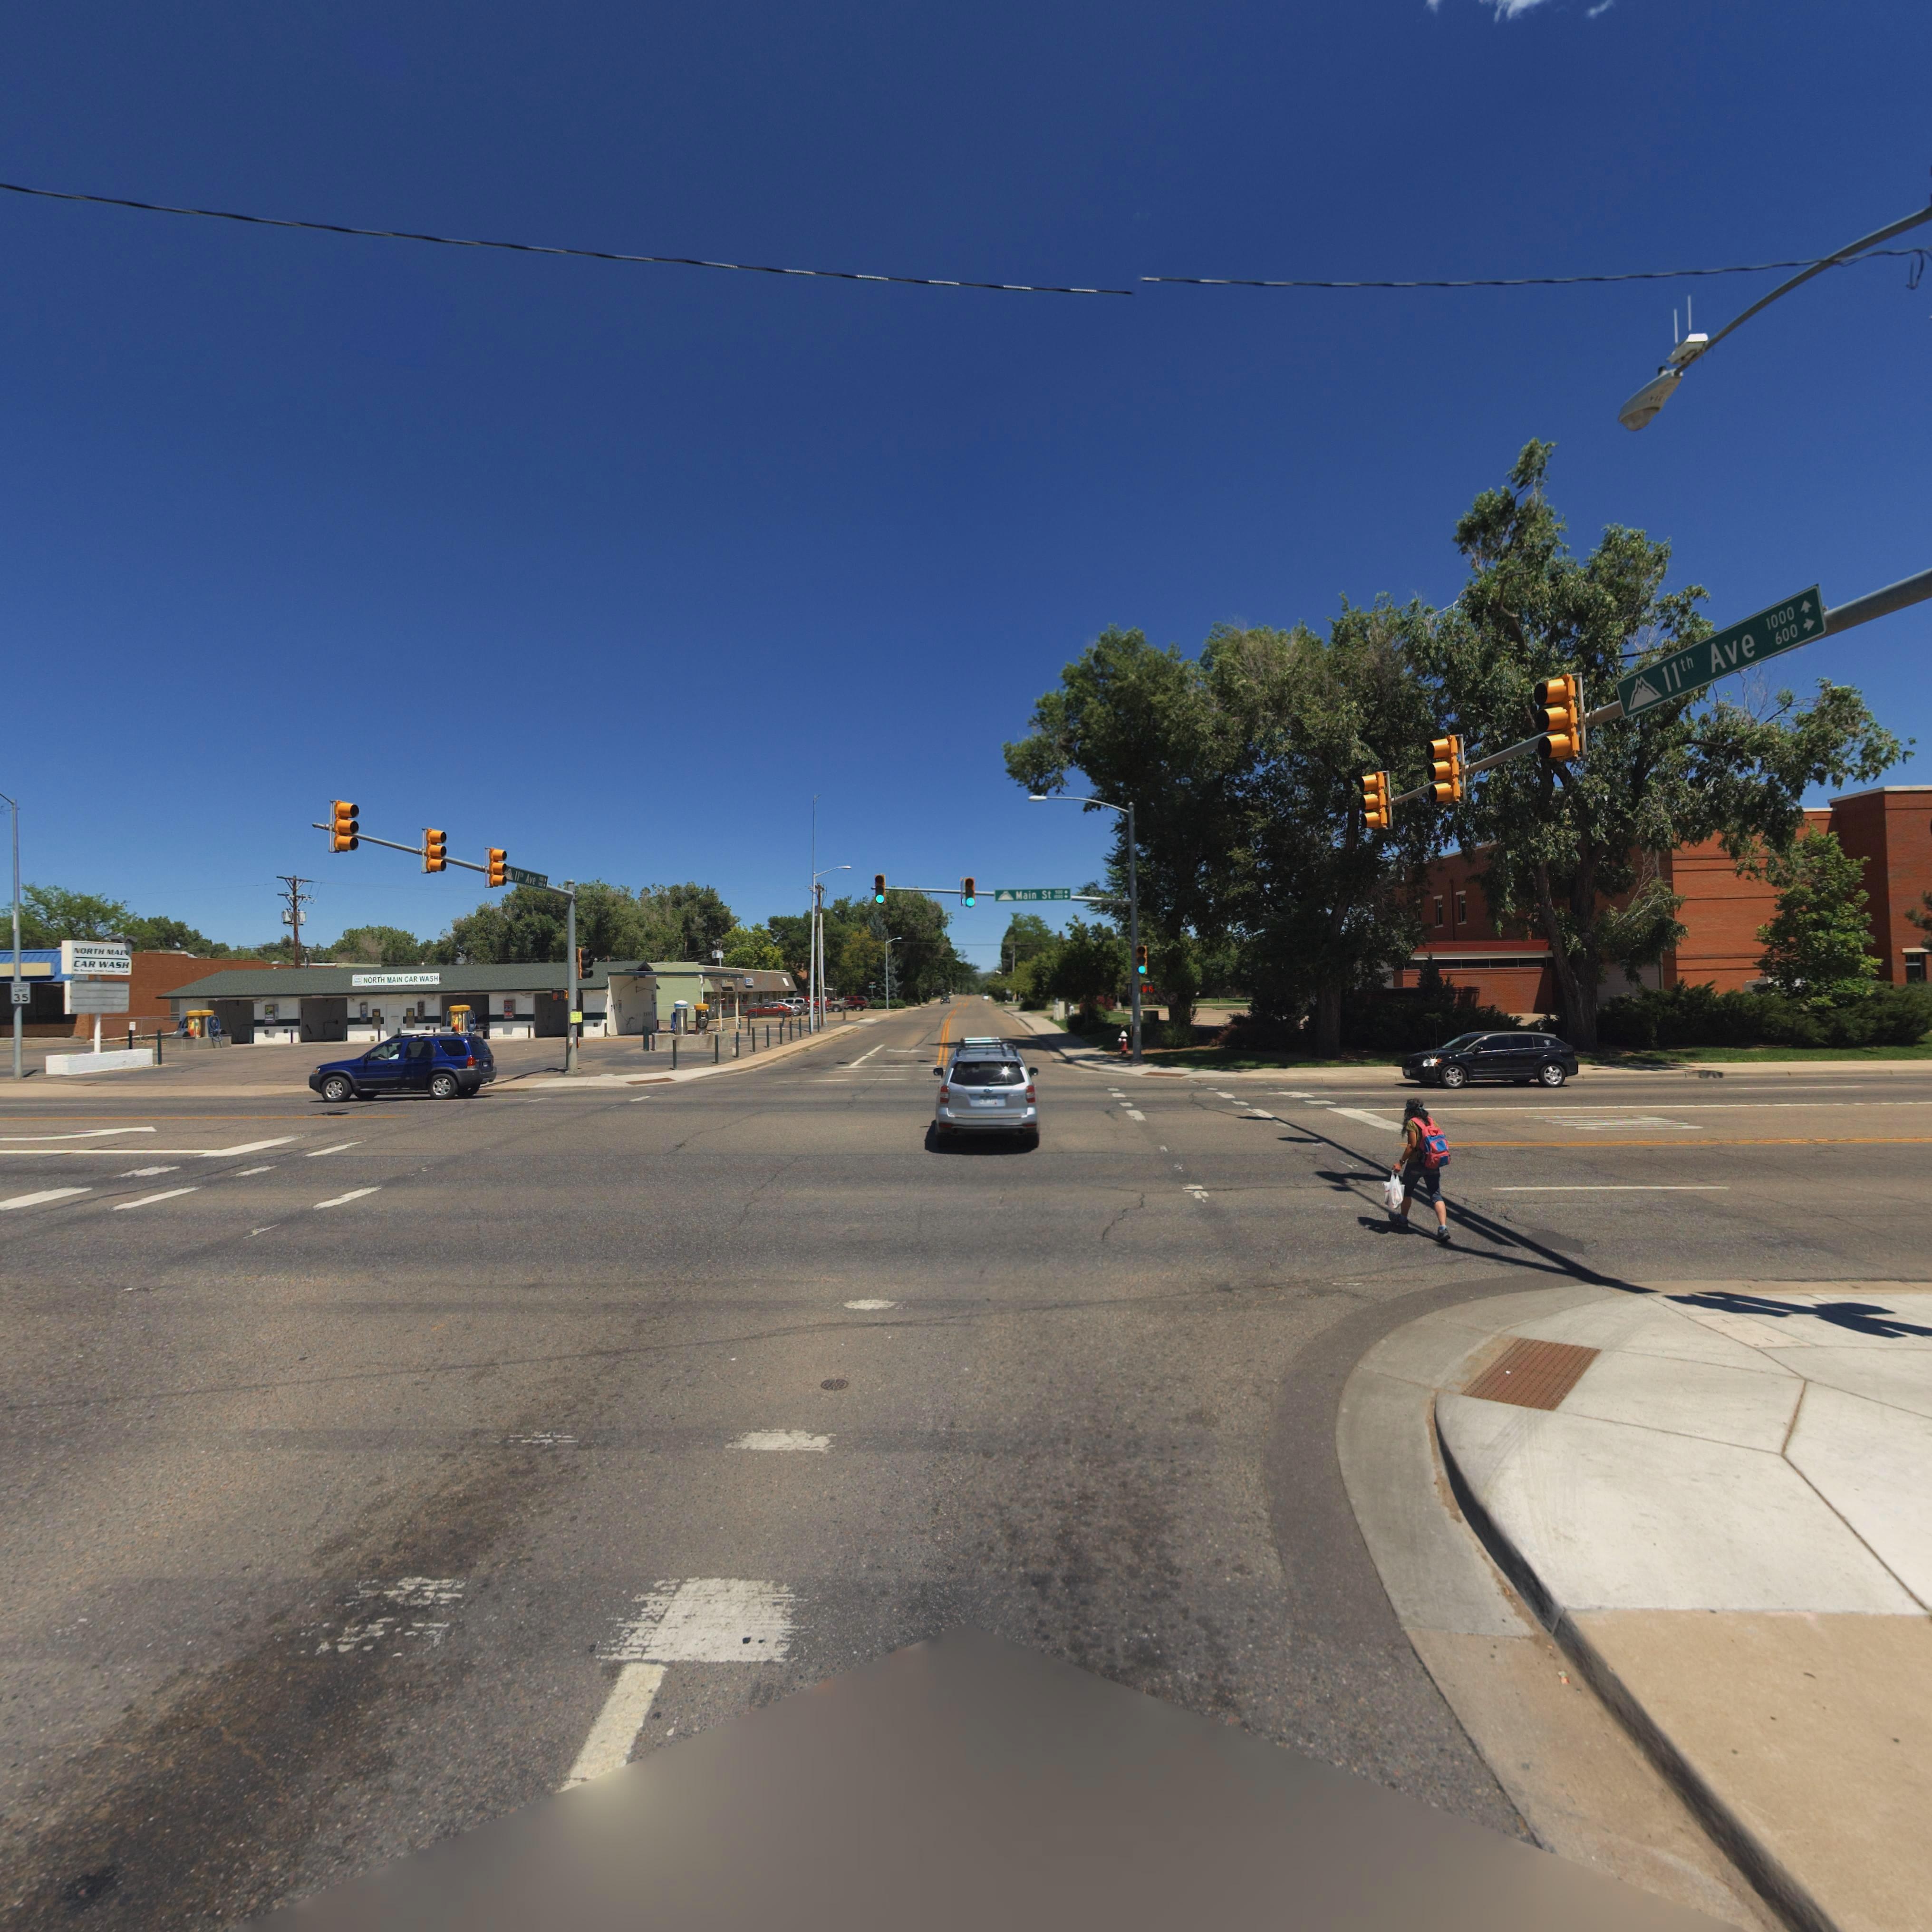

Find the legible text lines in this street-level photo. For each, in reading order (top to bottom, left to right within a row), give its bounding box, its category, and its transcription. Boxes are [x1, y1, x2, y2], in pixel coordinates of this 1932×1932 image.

[1765, 605, 1795, 631] StreetNumberRange: 1000
[1774, 617, 1816, 645] StreetNumberRange: 600->
[1661, 632, 1757, 694] StreetName: 11th Ave
[514, 869, 536, 885] StreetName: 11** Ave
[1015, 889, 1052, 900] StreetName: Main St
[1054, 889, 1063, 894] StreetNumberRange: *00
[1053, 894, 1068, 899] StreetNumberRange: *000 *
[72, 947, 130, 956] BusinessName: NORTH MAIN
[73, 959, 130, 969] BusinessName: CAR WASH
[363, 975, 439, 984] BusinessName: NORTH MAIN CAR WASH